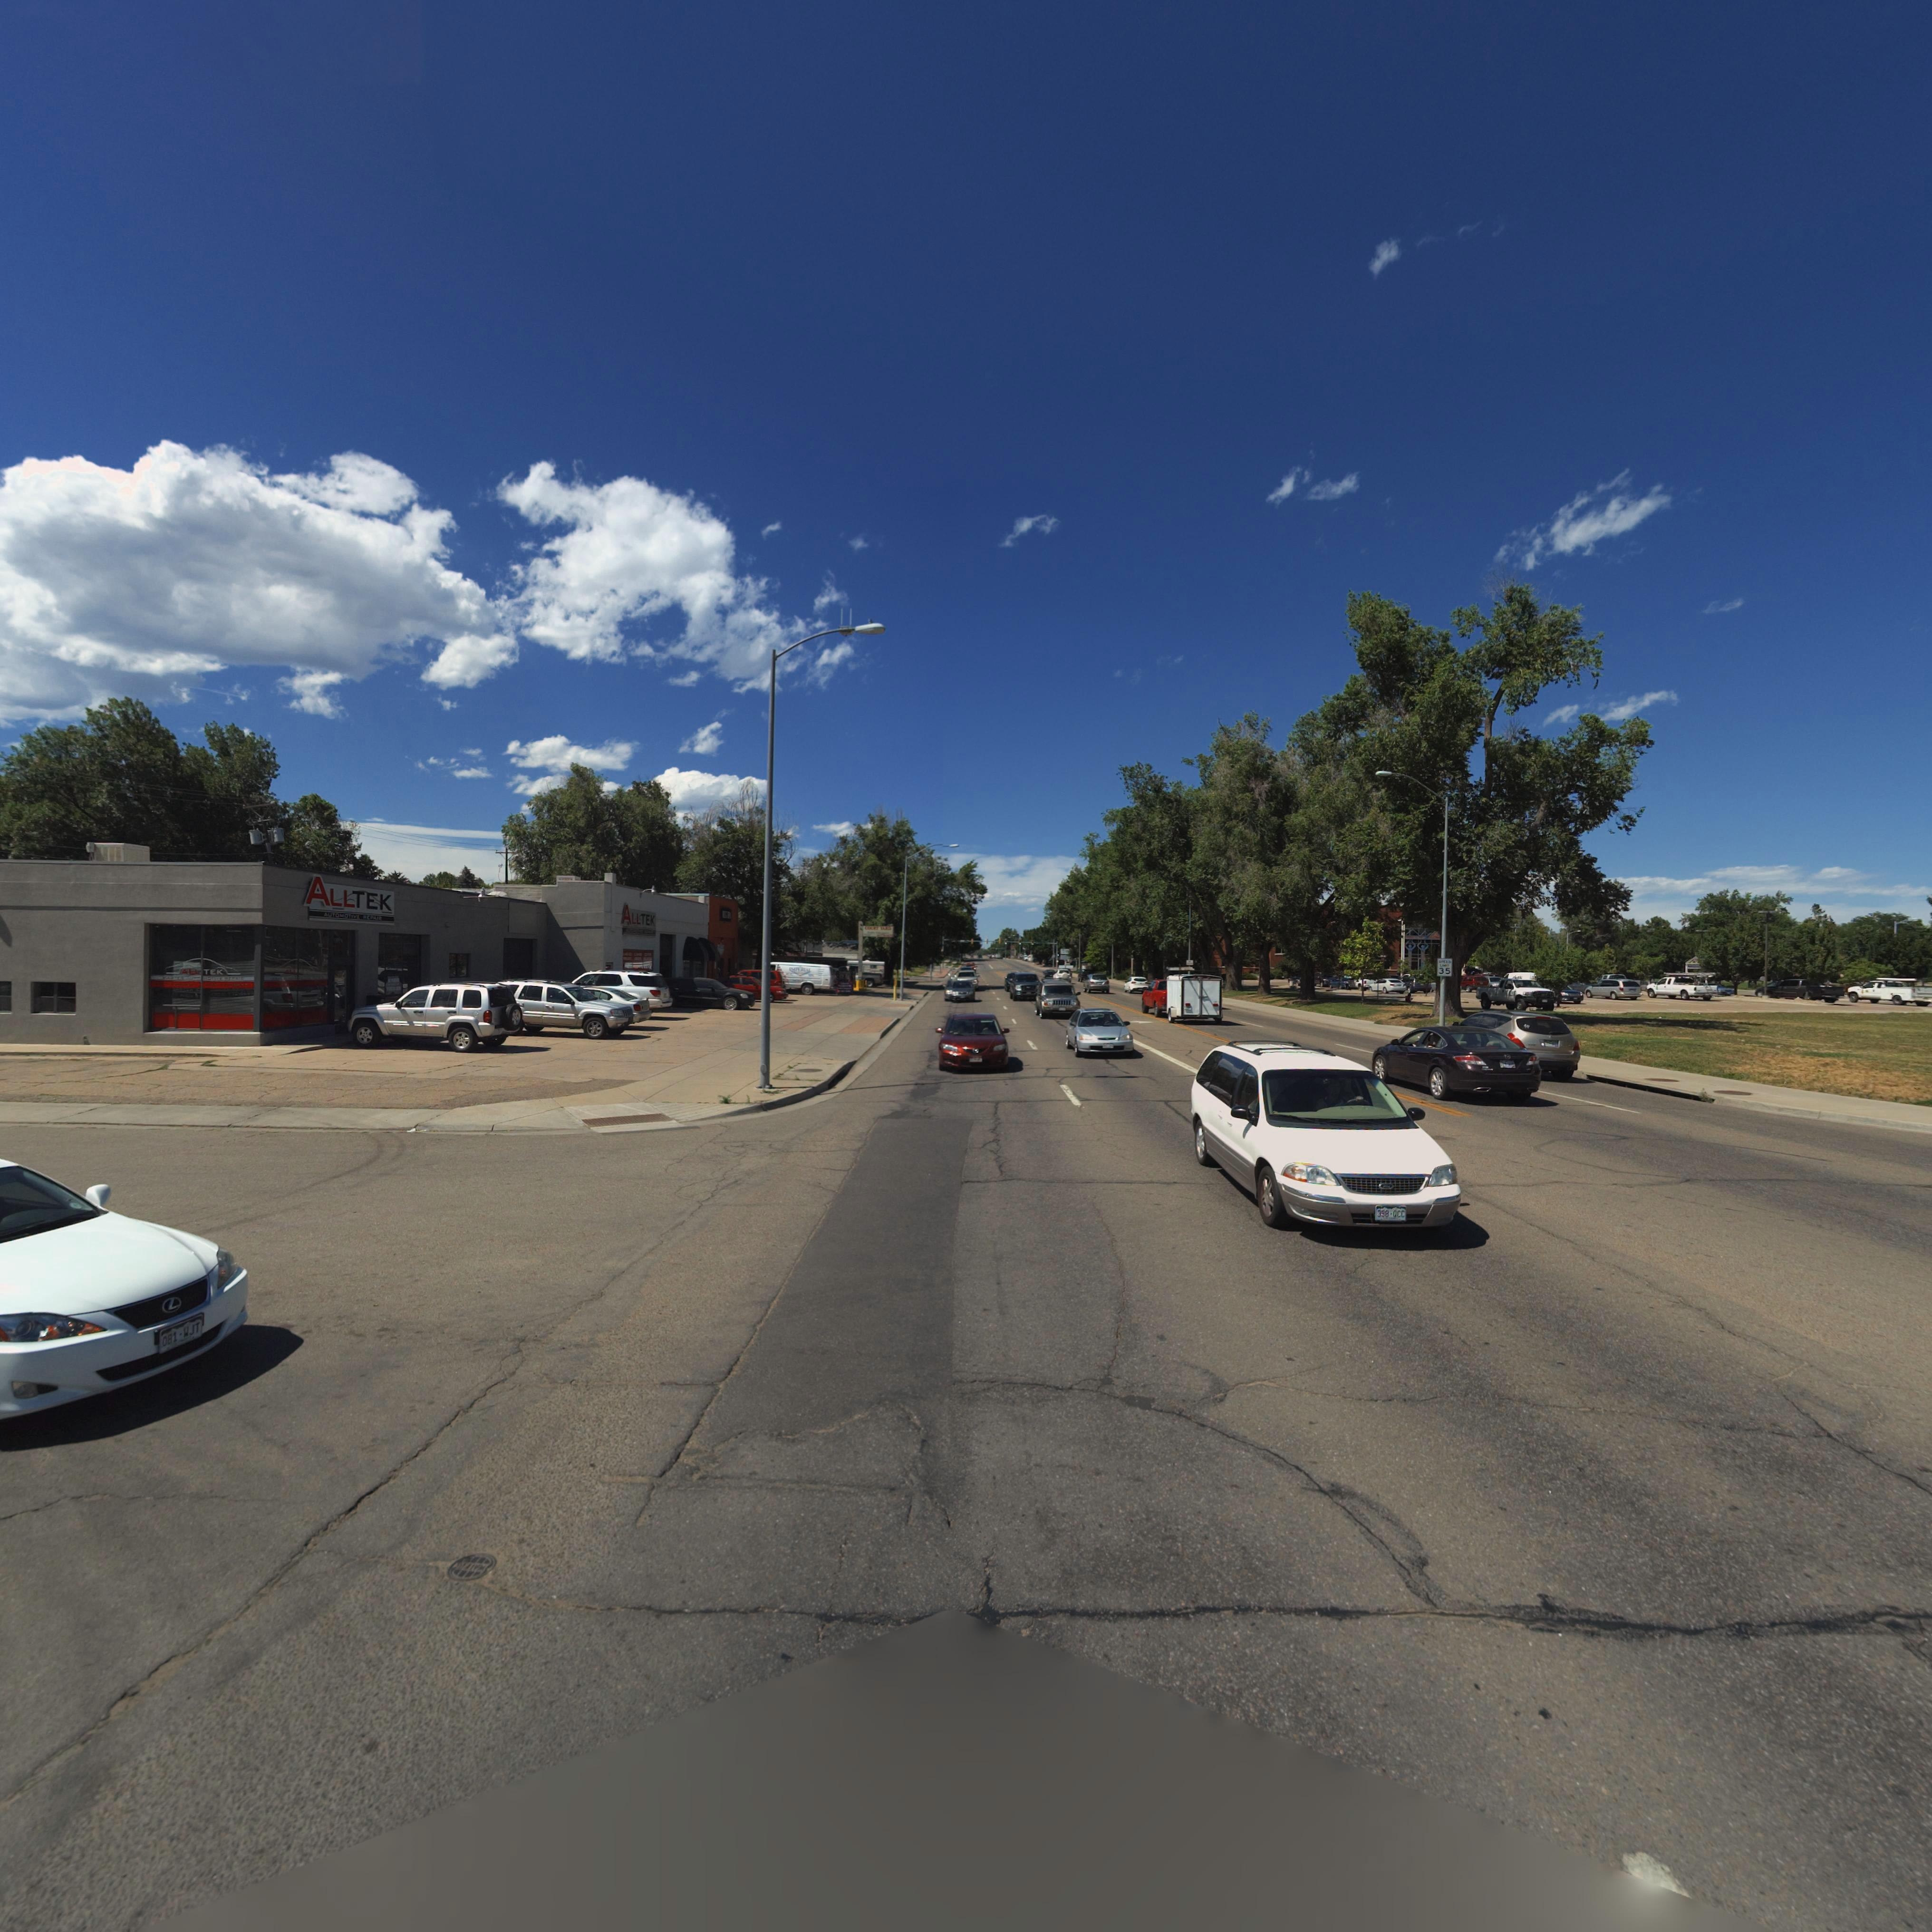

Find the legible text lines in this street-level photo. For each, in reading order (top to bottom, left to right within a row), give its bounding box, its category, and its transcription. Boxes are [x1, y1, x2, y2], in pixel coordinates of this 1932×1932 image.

[304, 875, 392, 911] BusinessName: ALLTEK
[620, 904, 655, 927] BusinessName: ALLTEK
[864, 926, 891, 930] BusinessName: CO*RT ***D
[179, 968, 223, 975] BusinessName: ALL TEK